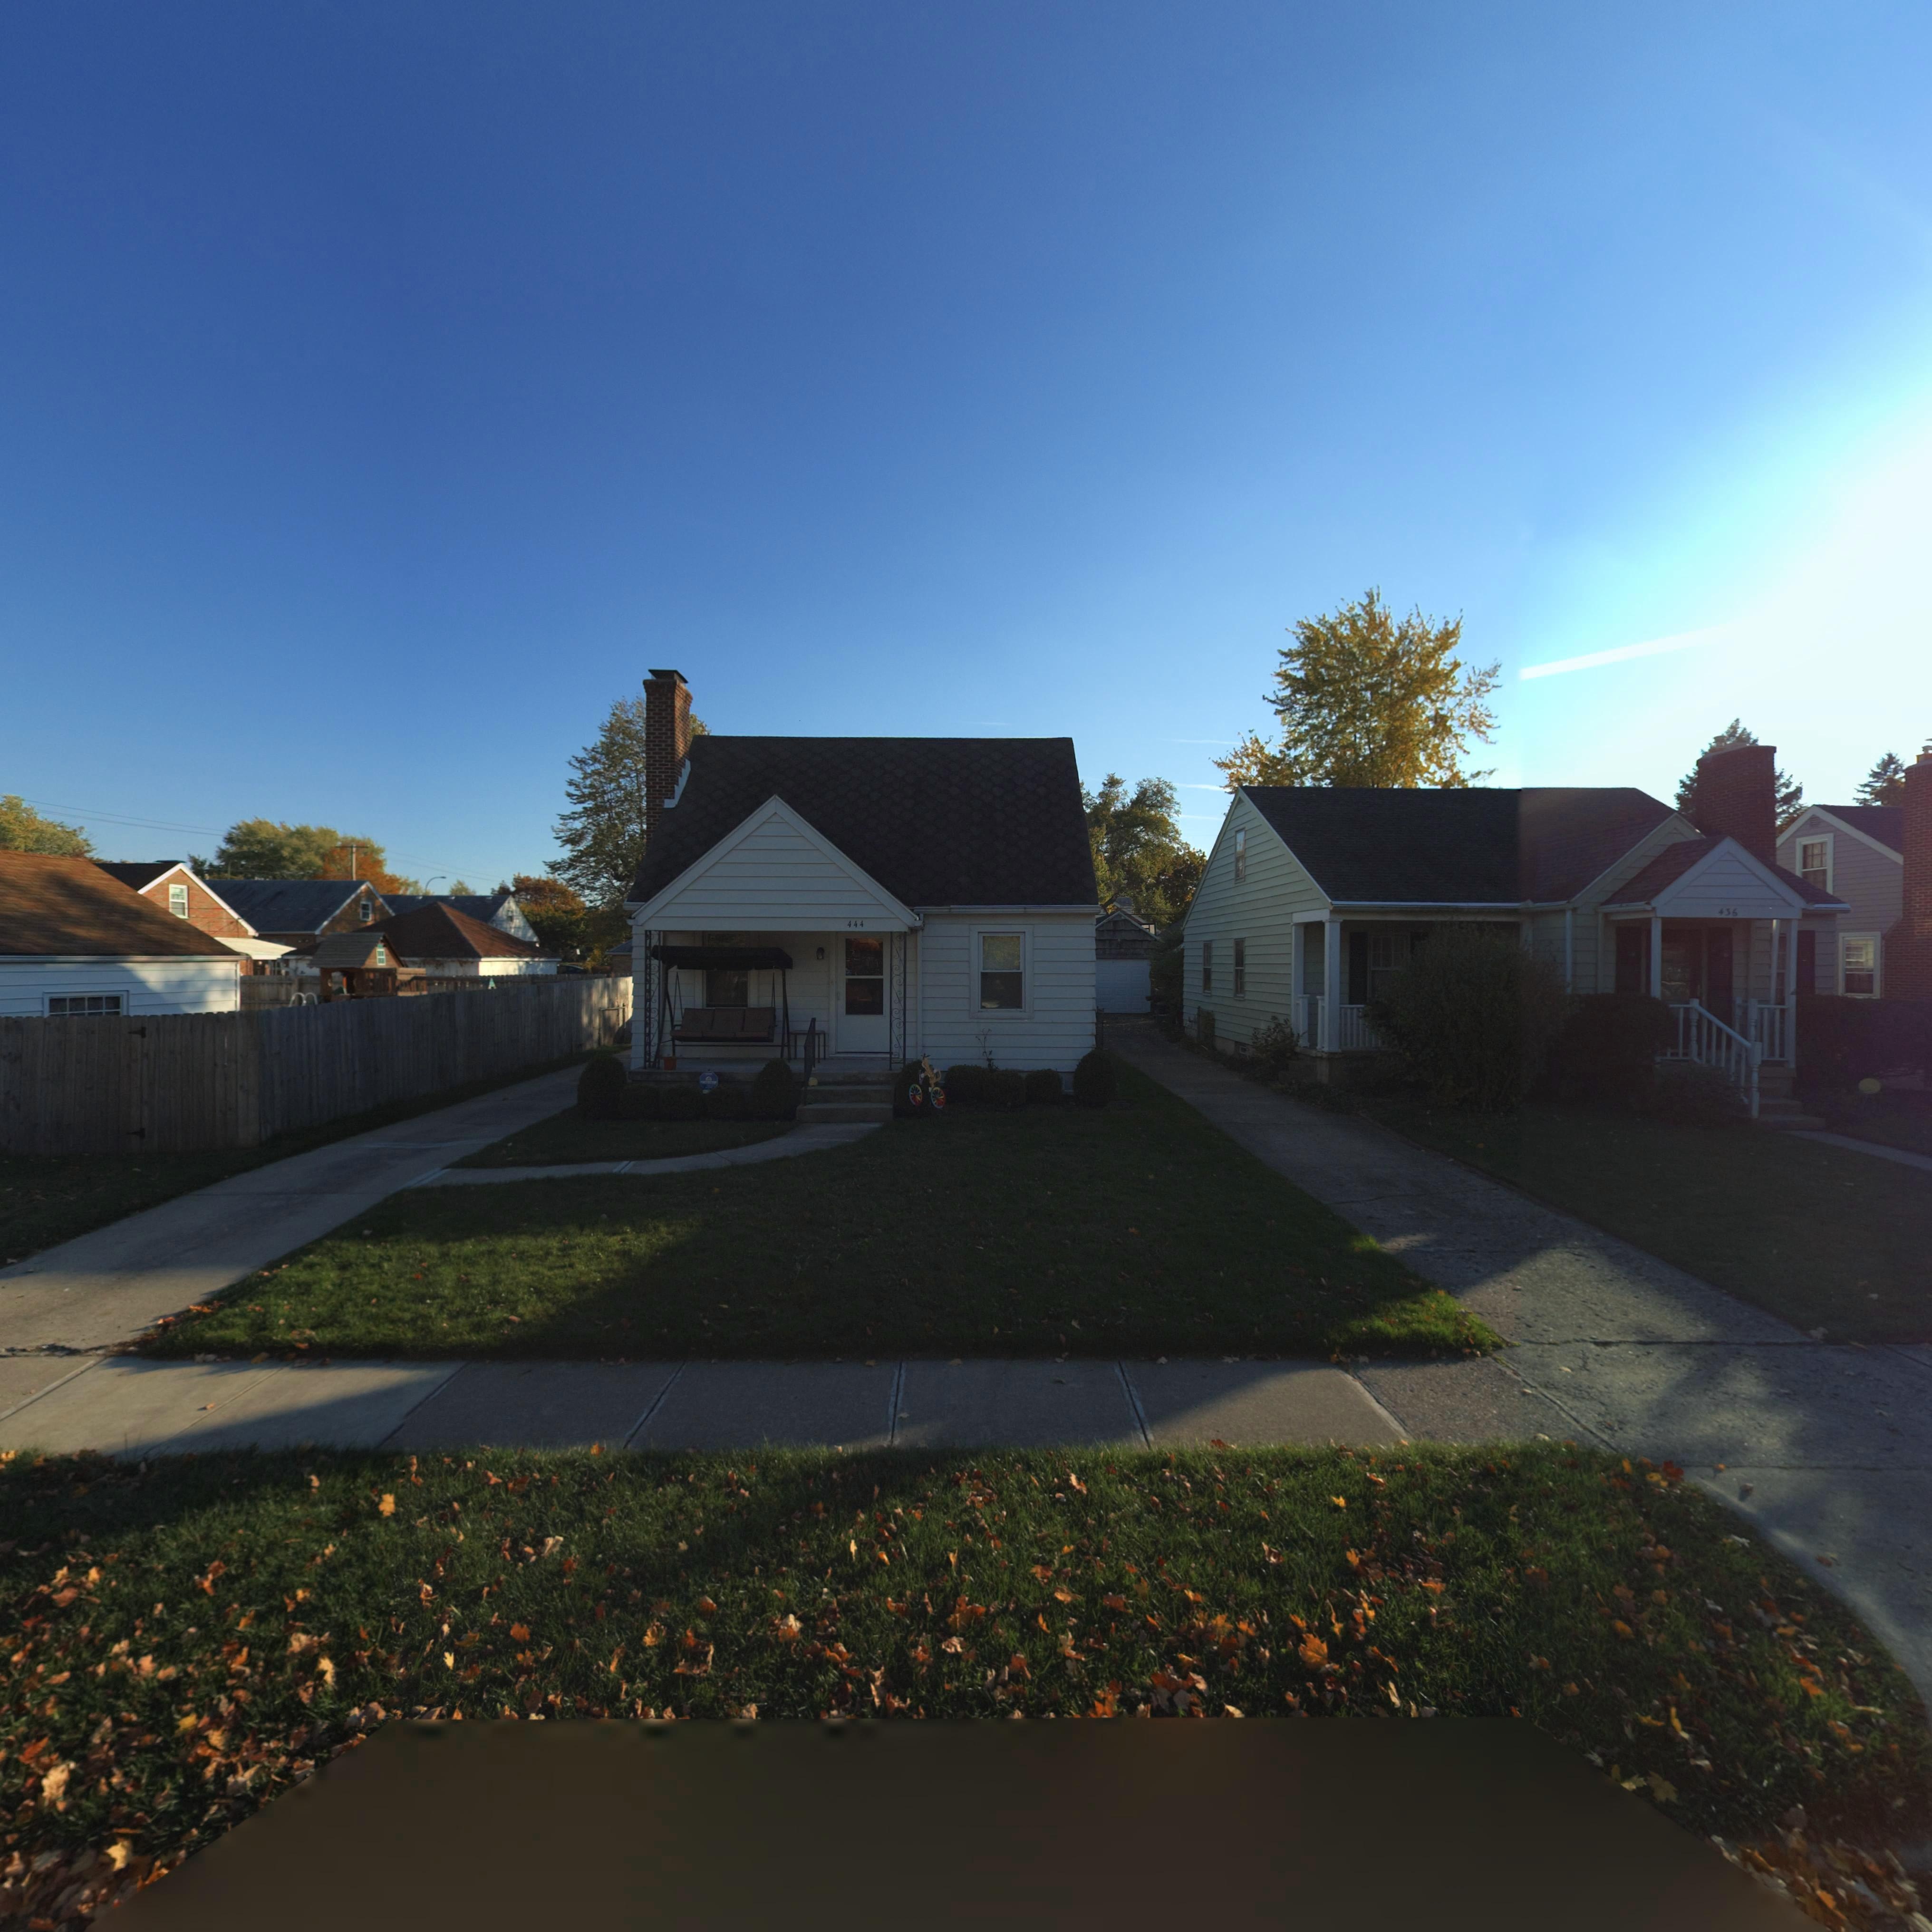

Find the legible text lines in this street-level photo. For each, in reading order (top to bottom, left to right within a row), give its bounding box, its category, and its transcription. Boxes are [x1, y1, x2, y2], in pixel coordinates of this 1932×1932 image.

[1718, 907, 1739, 917] StreetNumber: 436
[847, 919, 864, 928] StreetNumber: 444